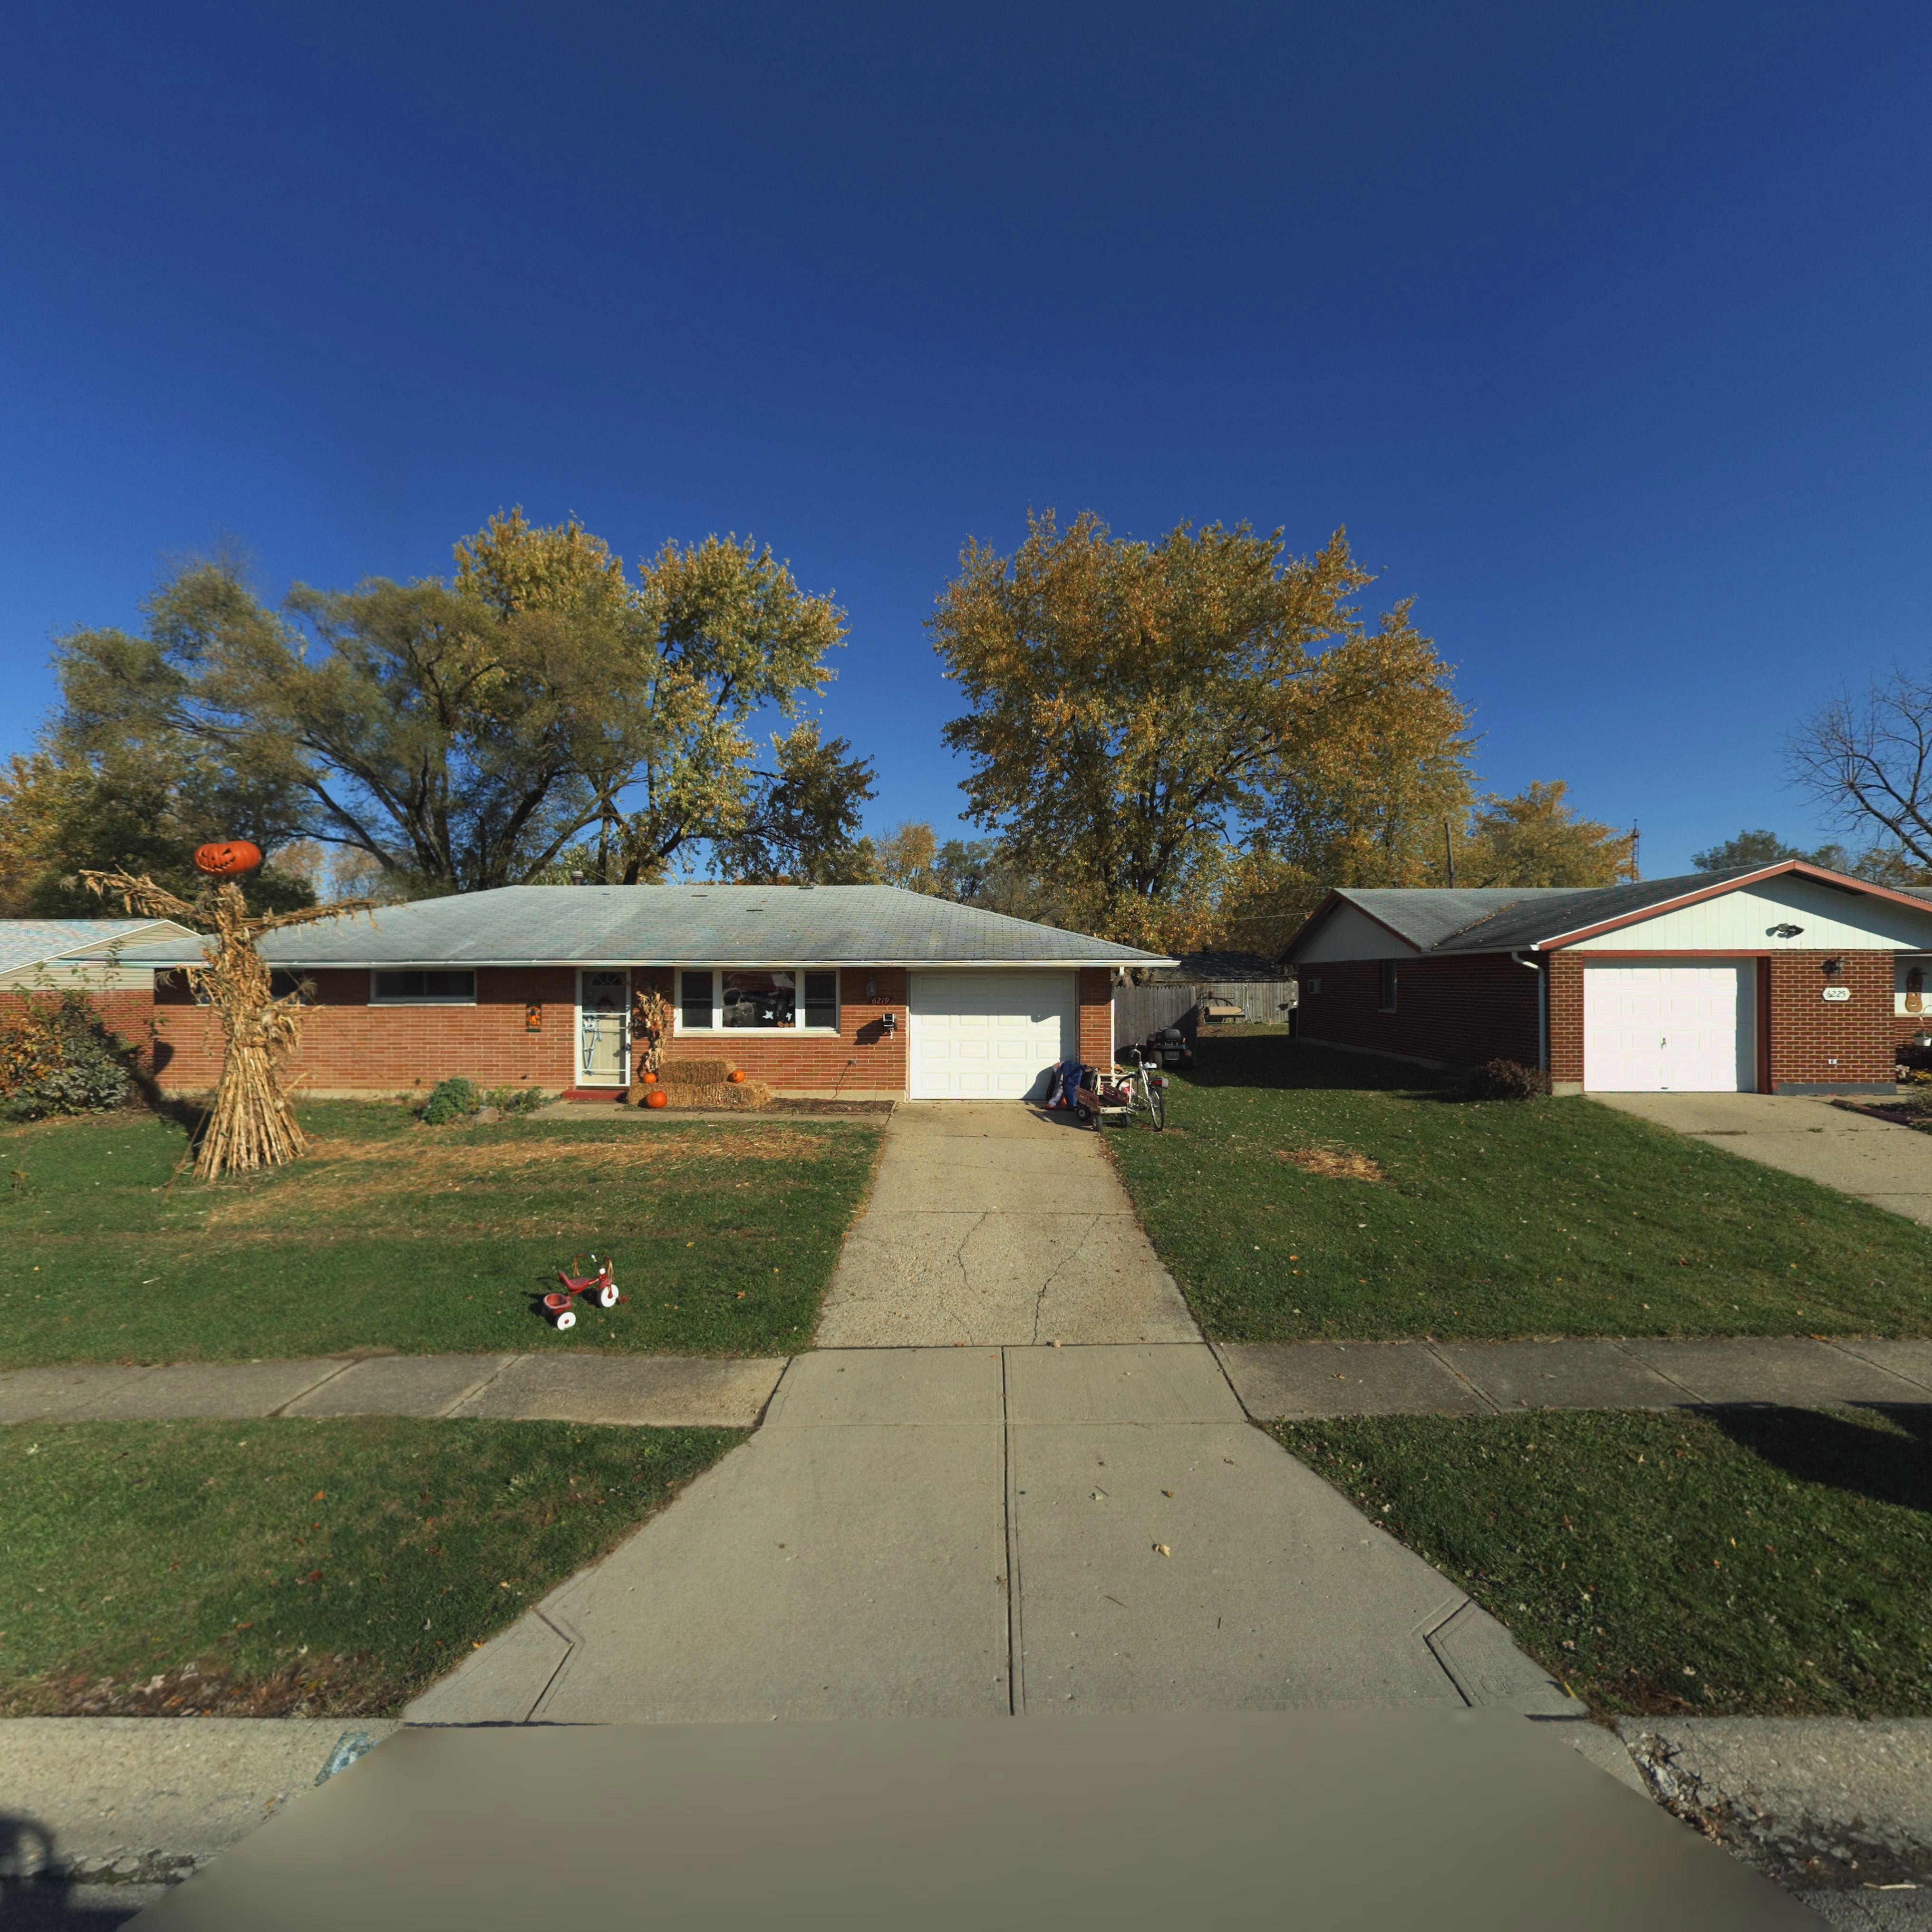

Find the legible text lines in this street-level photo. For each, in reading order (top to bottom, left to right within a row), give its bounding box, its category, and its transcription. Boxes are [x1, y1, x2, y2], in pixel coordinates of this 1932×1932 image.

[1826, 990, 1847, 999] StreetNumber: 6225
[871, 996, 889, 1005] StreetNumber: 6219